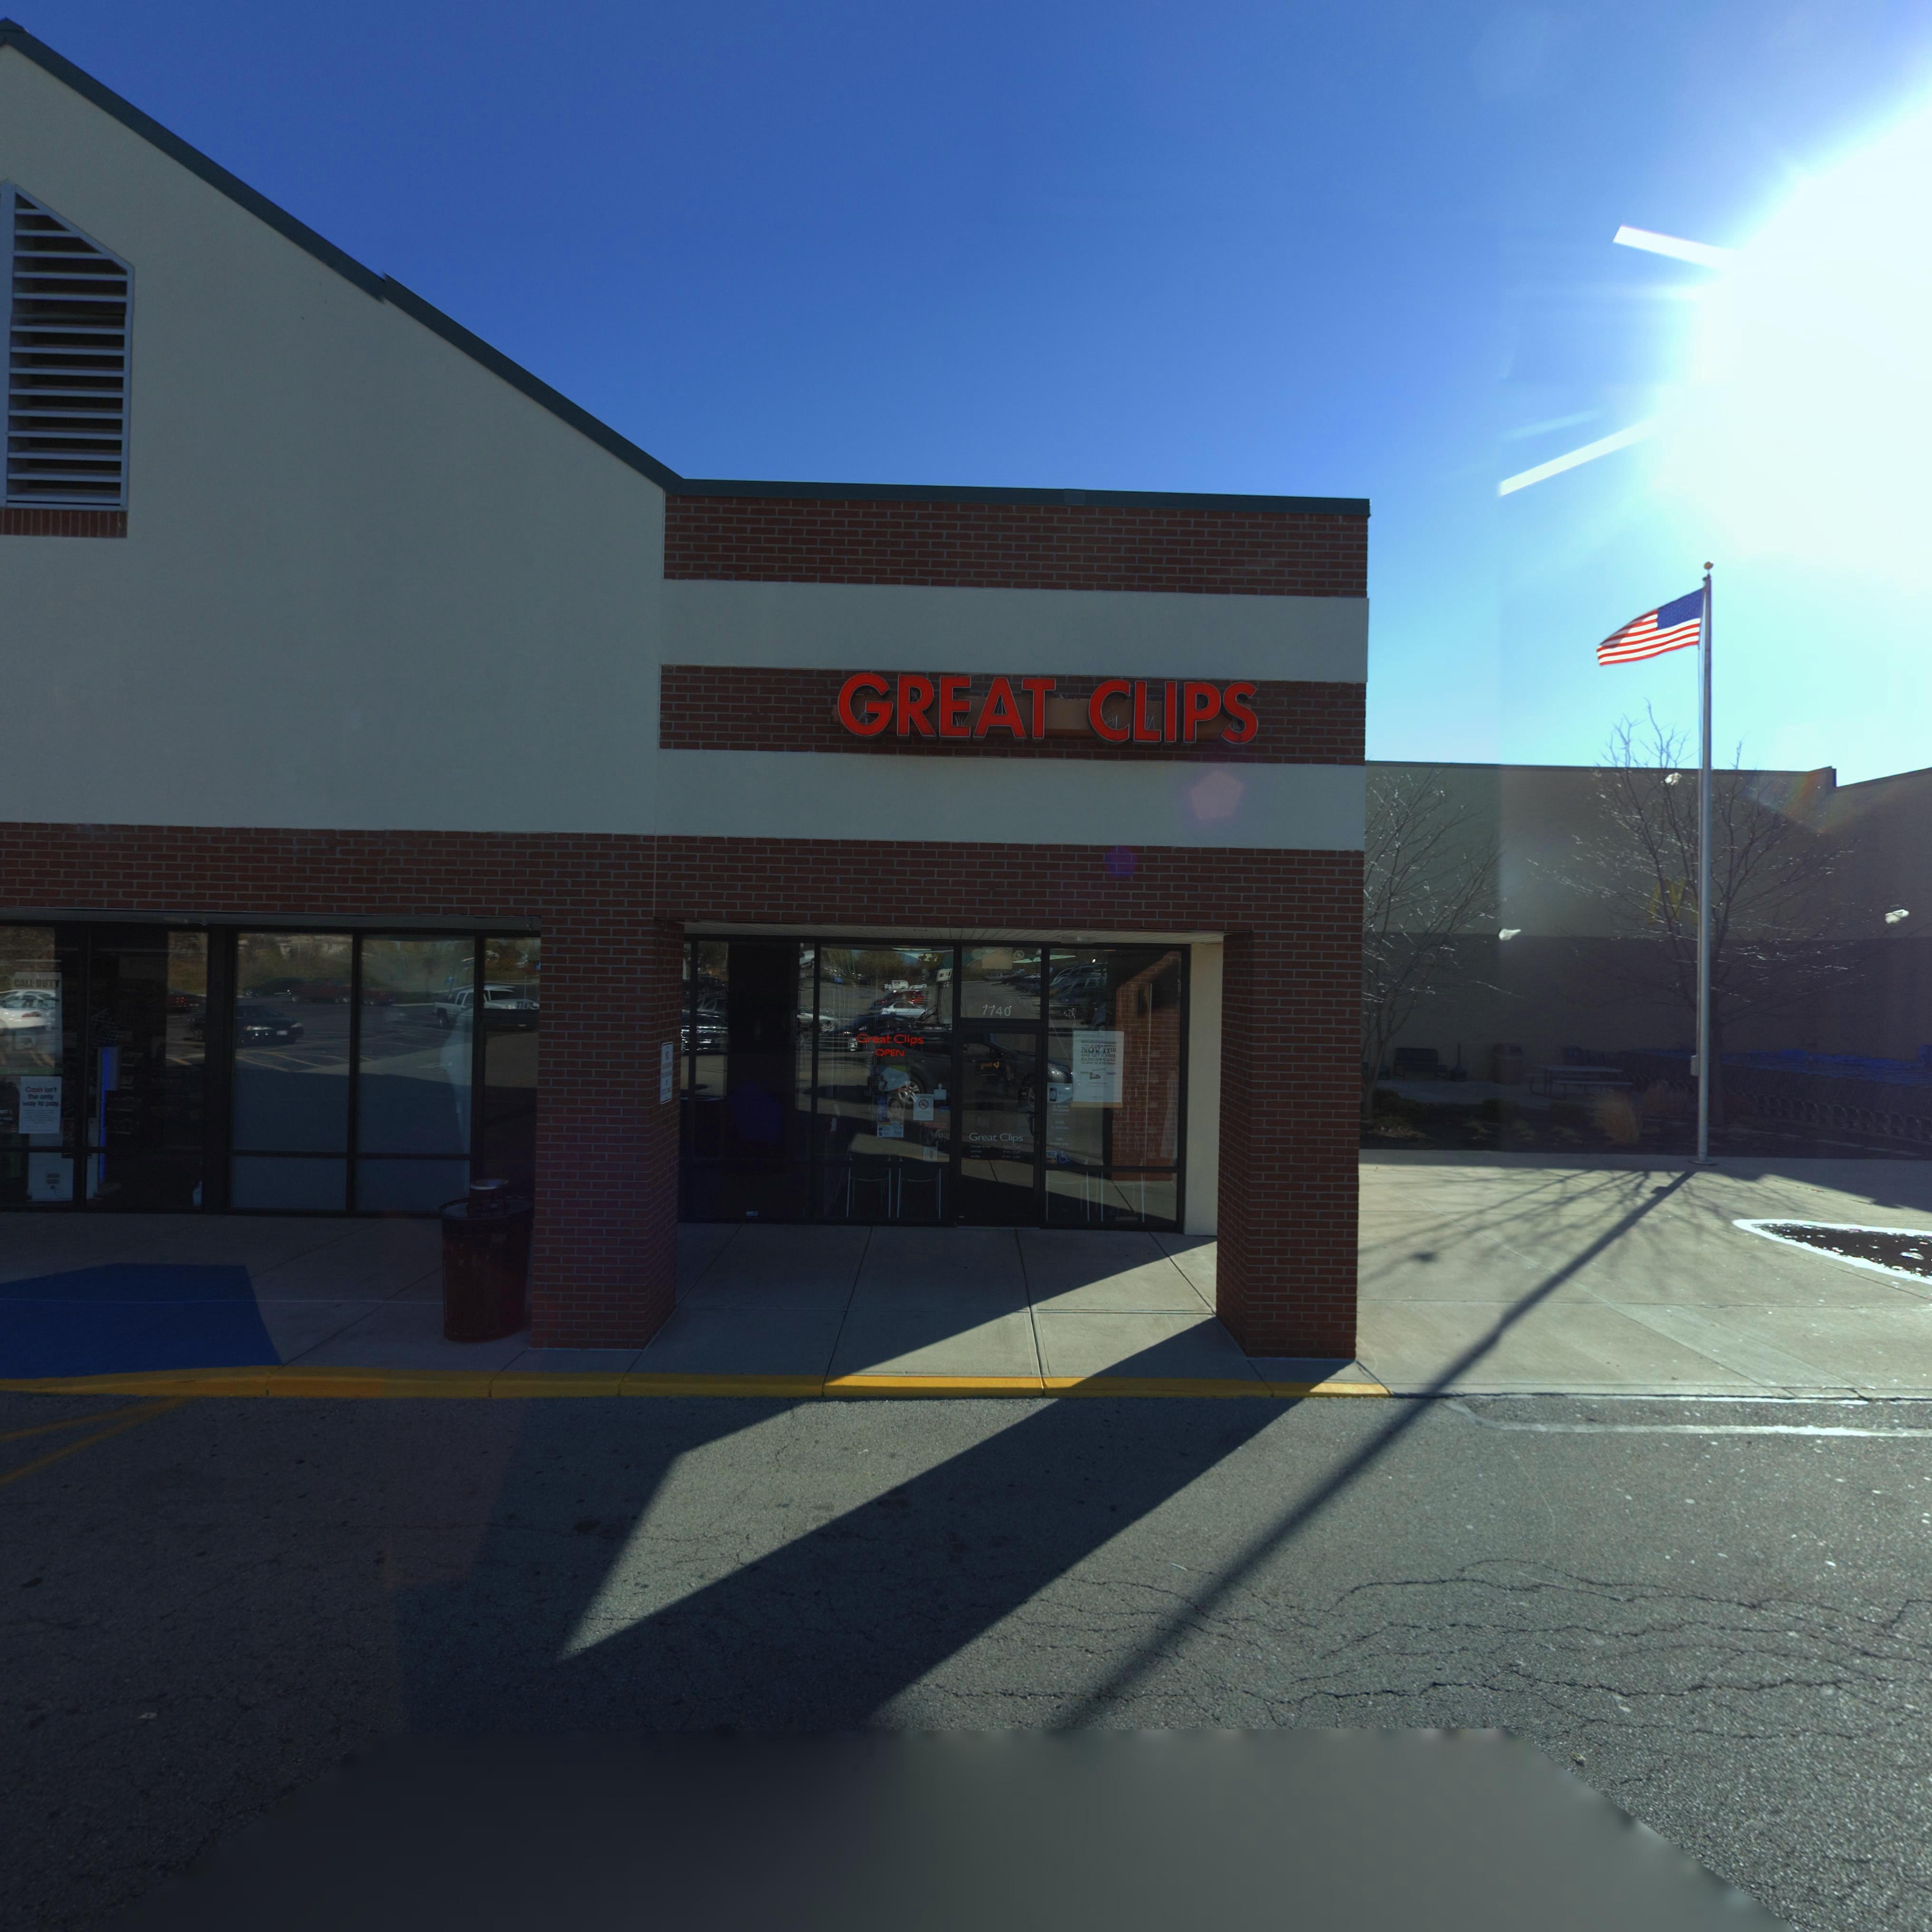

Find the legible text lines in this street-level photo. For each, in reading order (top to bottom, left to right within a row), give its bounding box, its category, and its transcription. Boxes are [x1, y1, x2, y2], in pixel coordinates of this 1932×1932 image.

[516, 1001, 532, 1010] StreetNumber: 7742
[981, 1005, 1011, 1016] StreetNumber: 7740